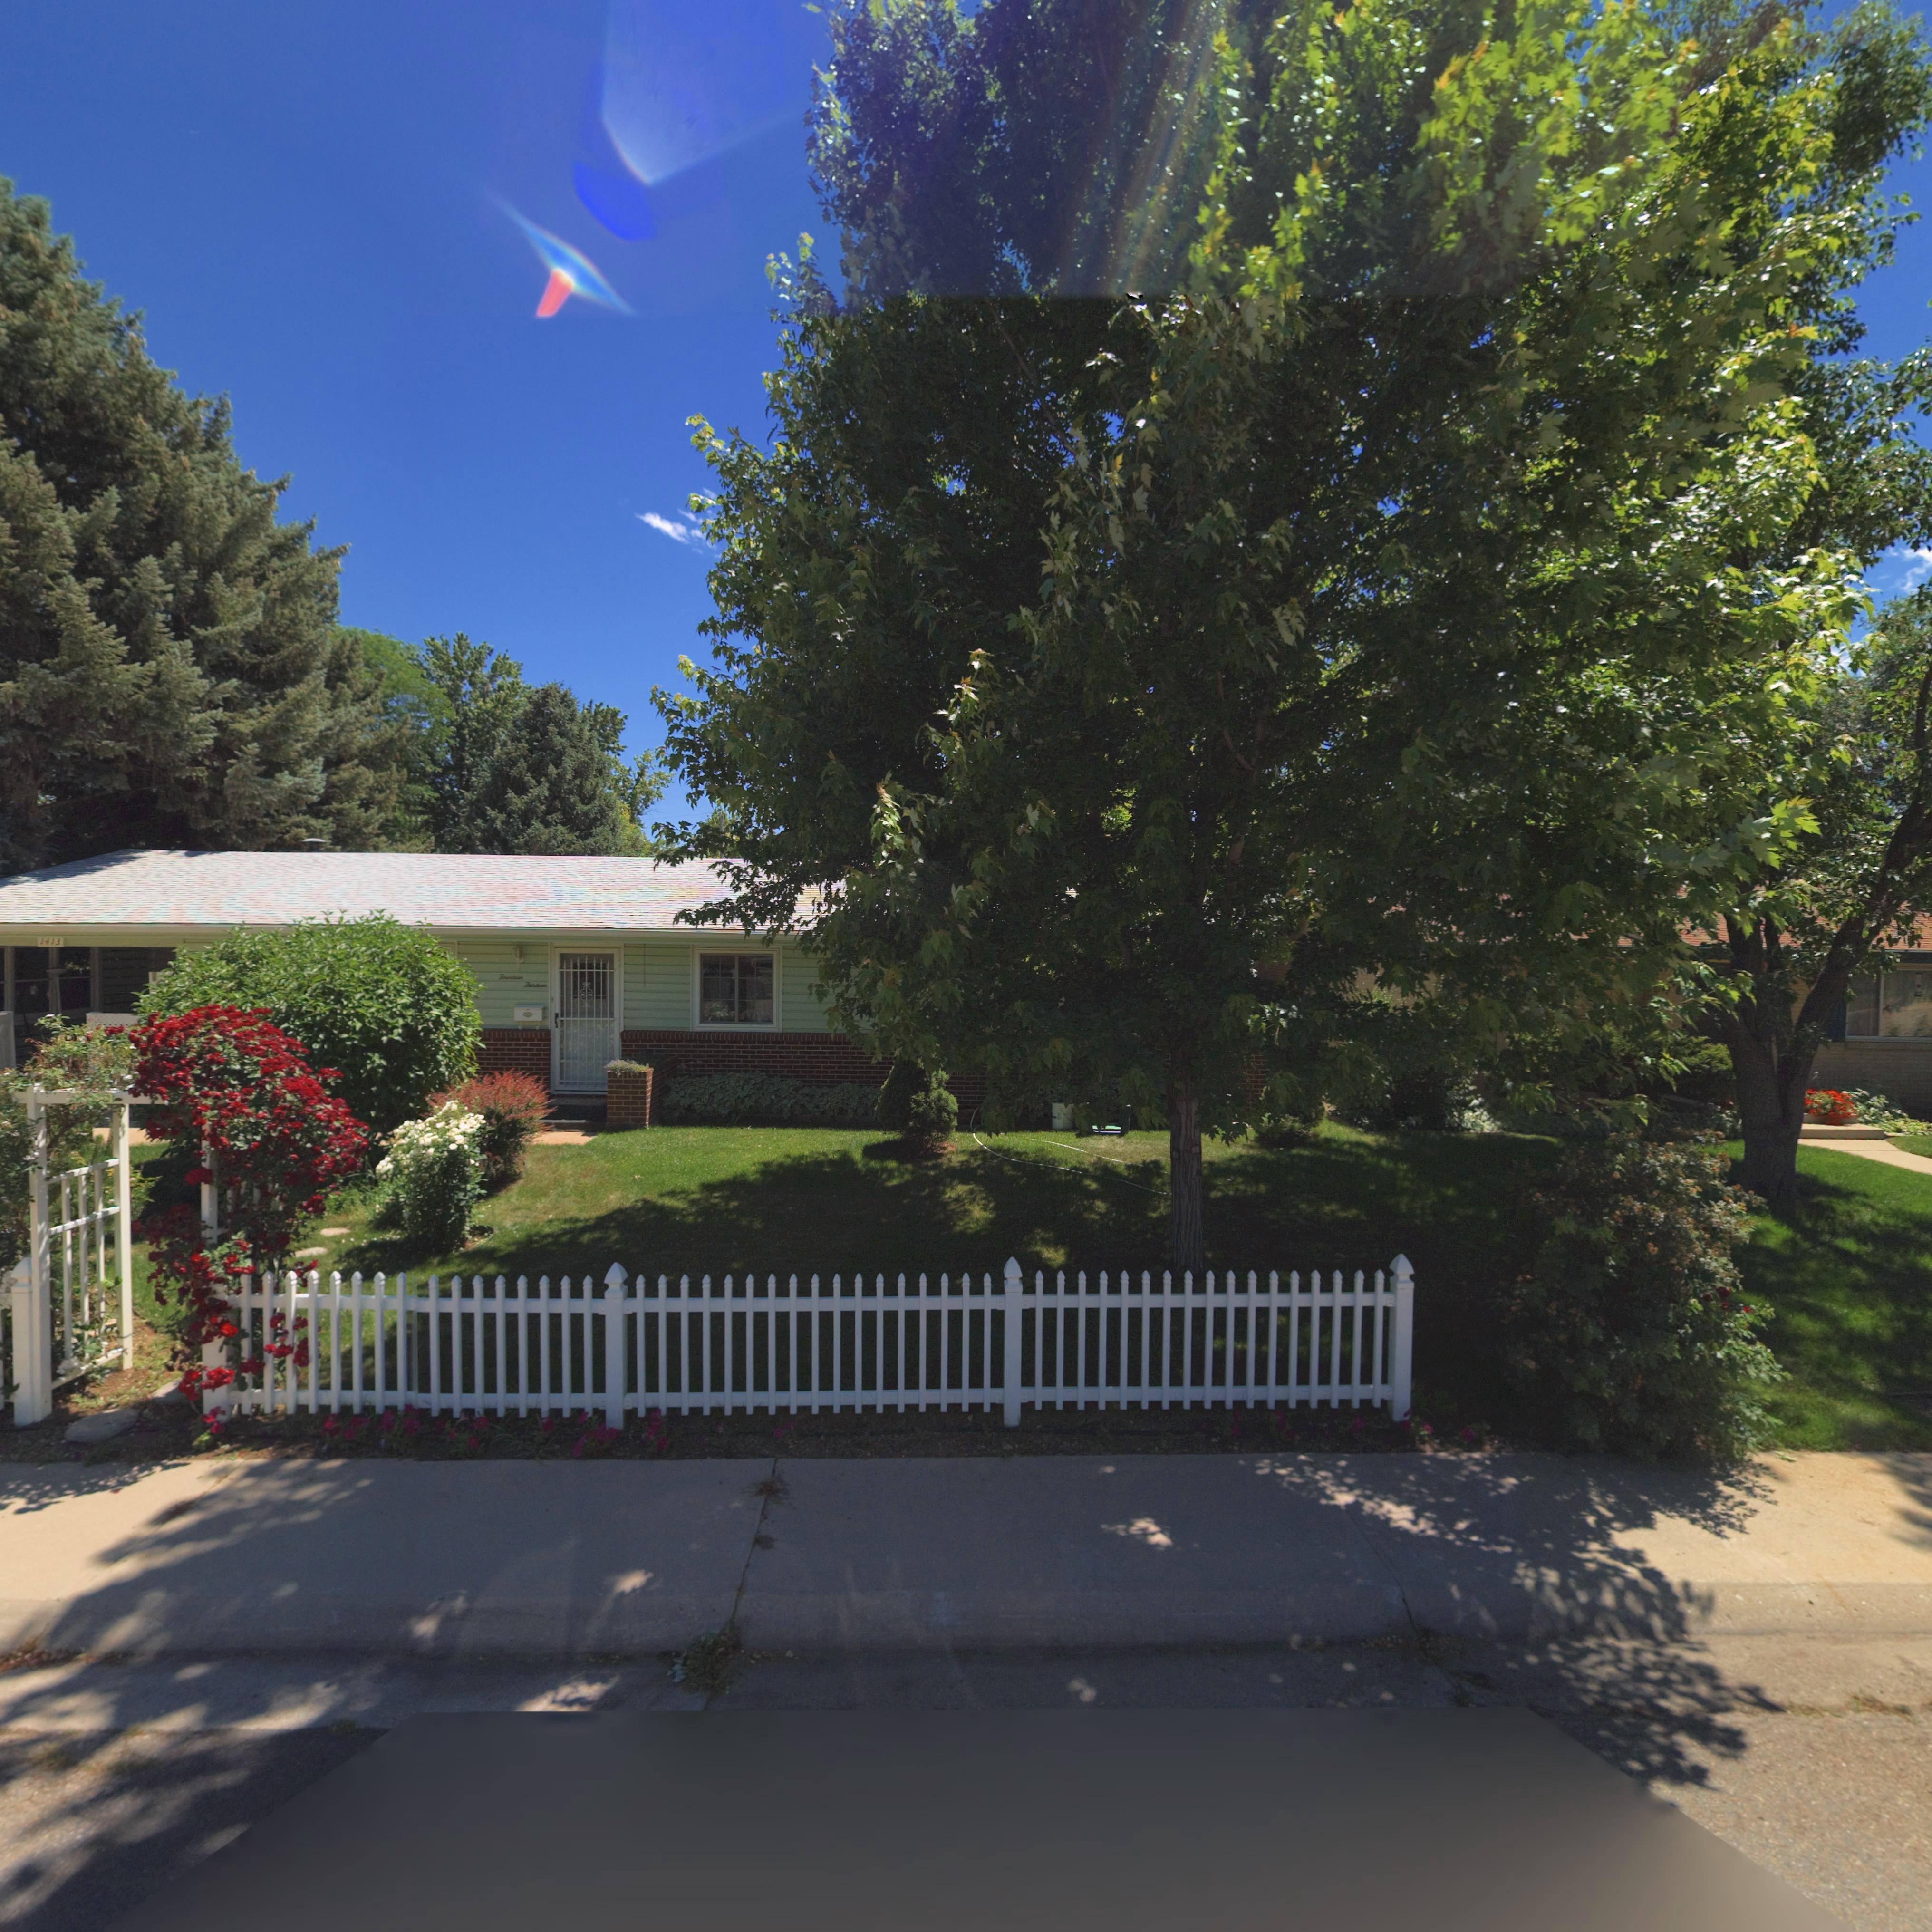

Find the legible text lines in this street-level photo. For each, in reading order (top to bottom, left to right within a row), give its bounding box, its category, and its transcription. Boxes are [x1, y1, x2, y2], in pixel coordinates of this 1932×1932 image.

[40, 938, 60, 945] StreetNumber: 1413
[498, 973, 523, 980] StreetNumber: Fourt**n
[523, 981, 547, 987] StreetNumber: Thirt**n